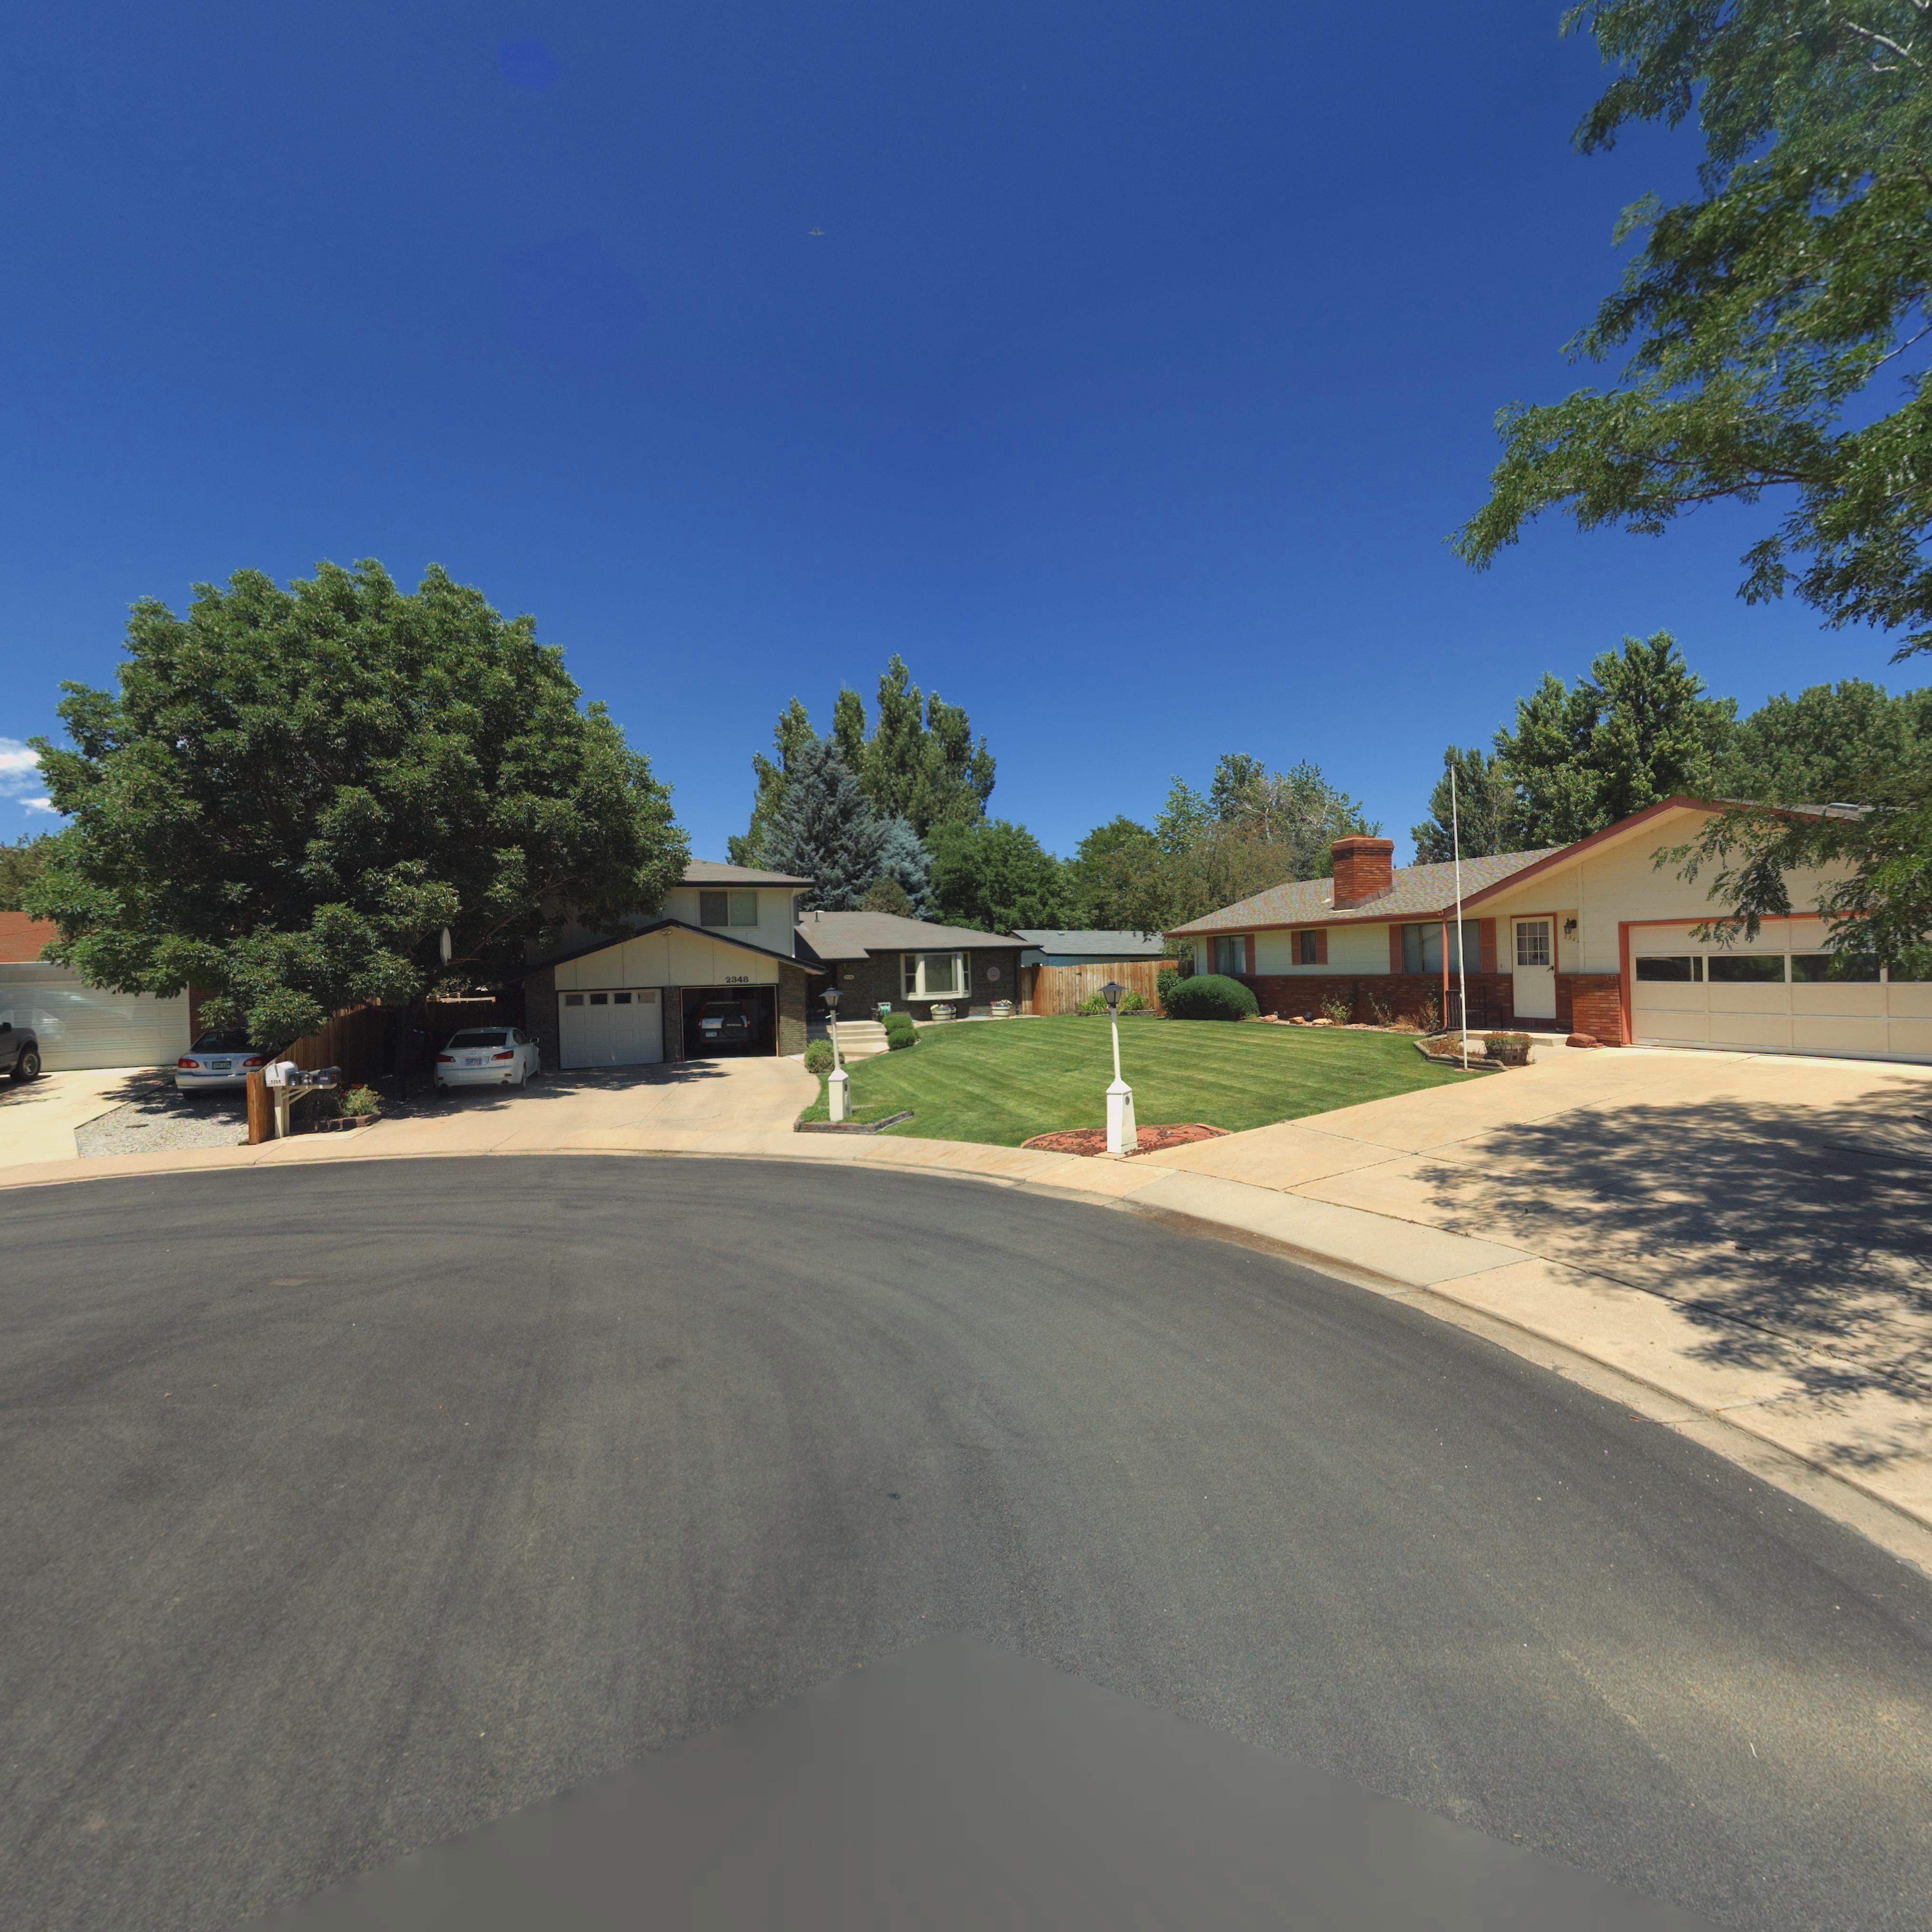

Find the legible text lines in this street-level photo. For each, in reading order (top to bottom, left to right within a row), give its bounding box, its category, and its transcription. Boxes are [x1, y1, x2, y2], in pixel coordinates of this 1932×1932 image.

[1563, 934, 1580, 943] StreetNumber: 234*
[725, 976, 749, 983] StreetNumber: 2348
[270, 1079, 281, 1084] StreetNumber: 2354
[319, 1076, 328, 1080] StreetNumber: 2***